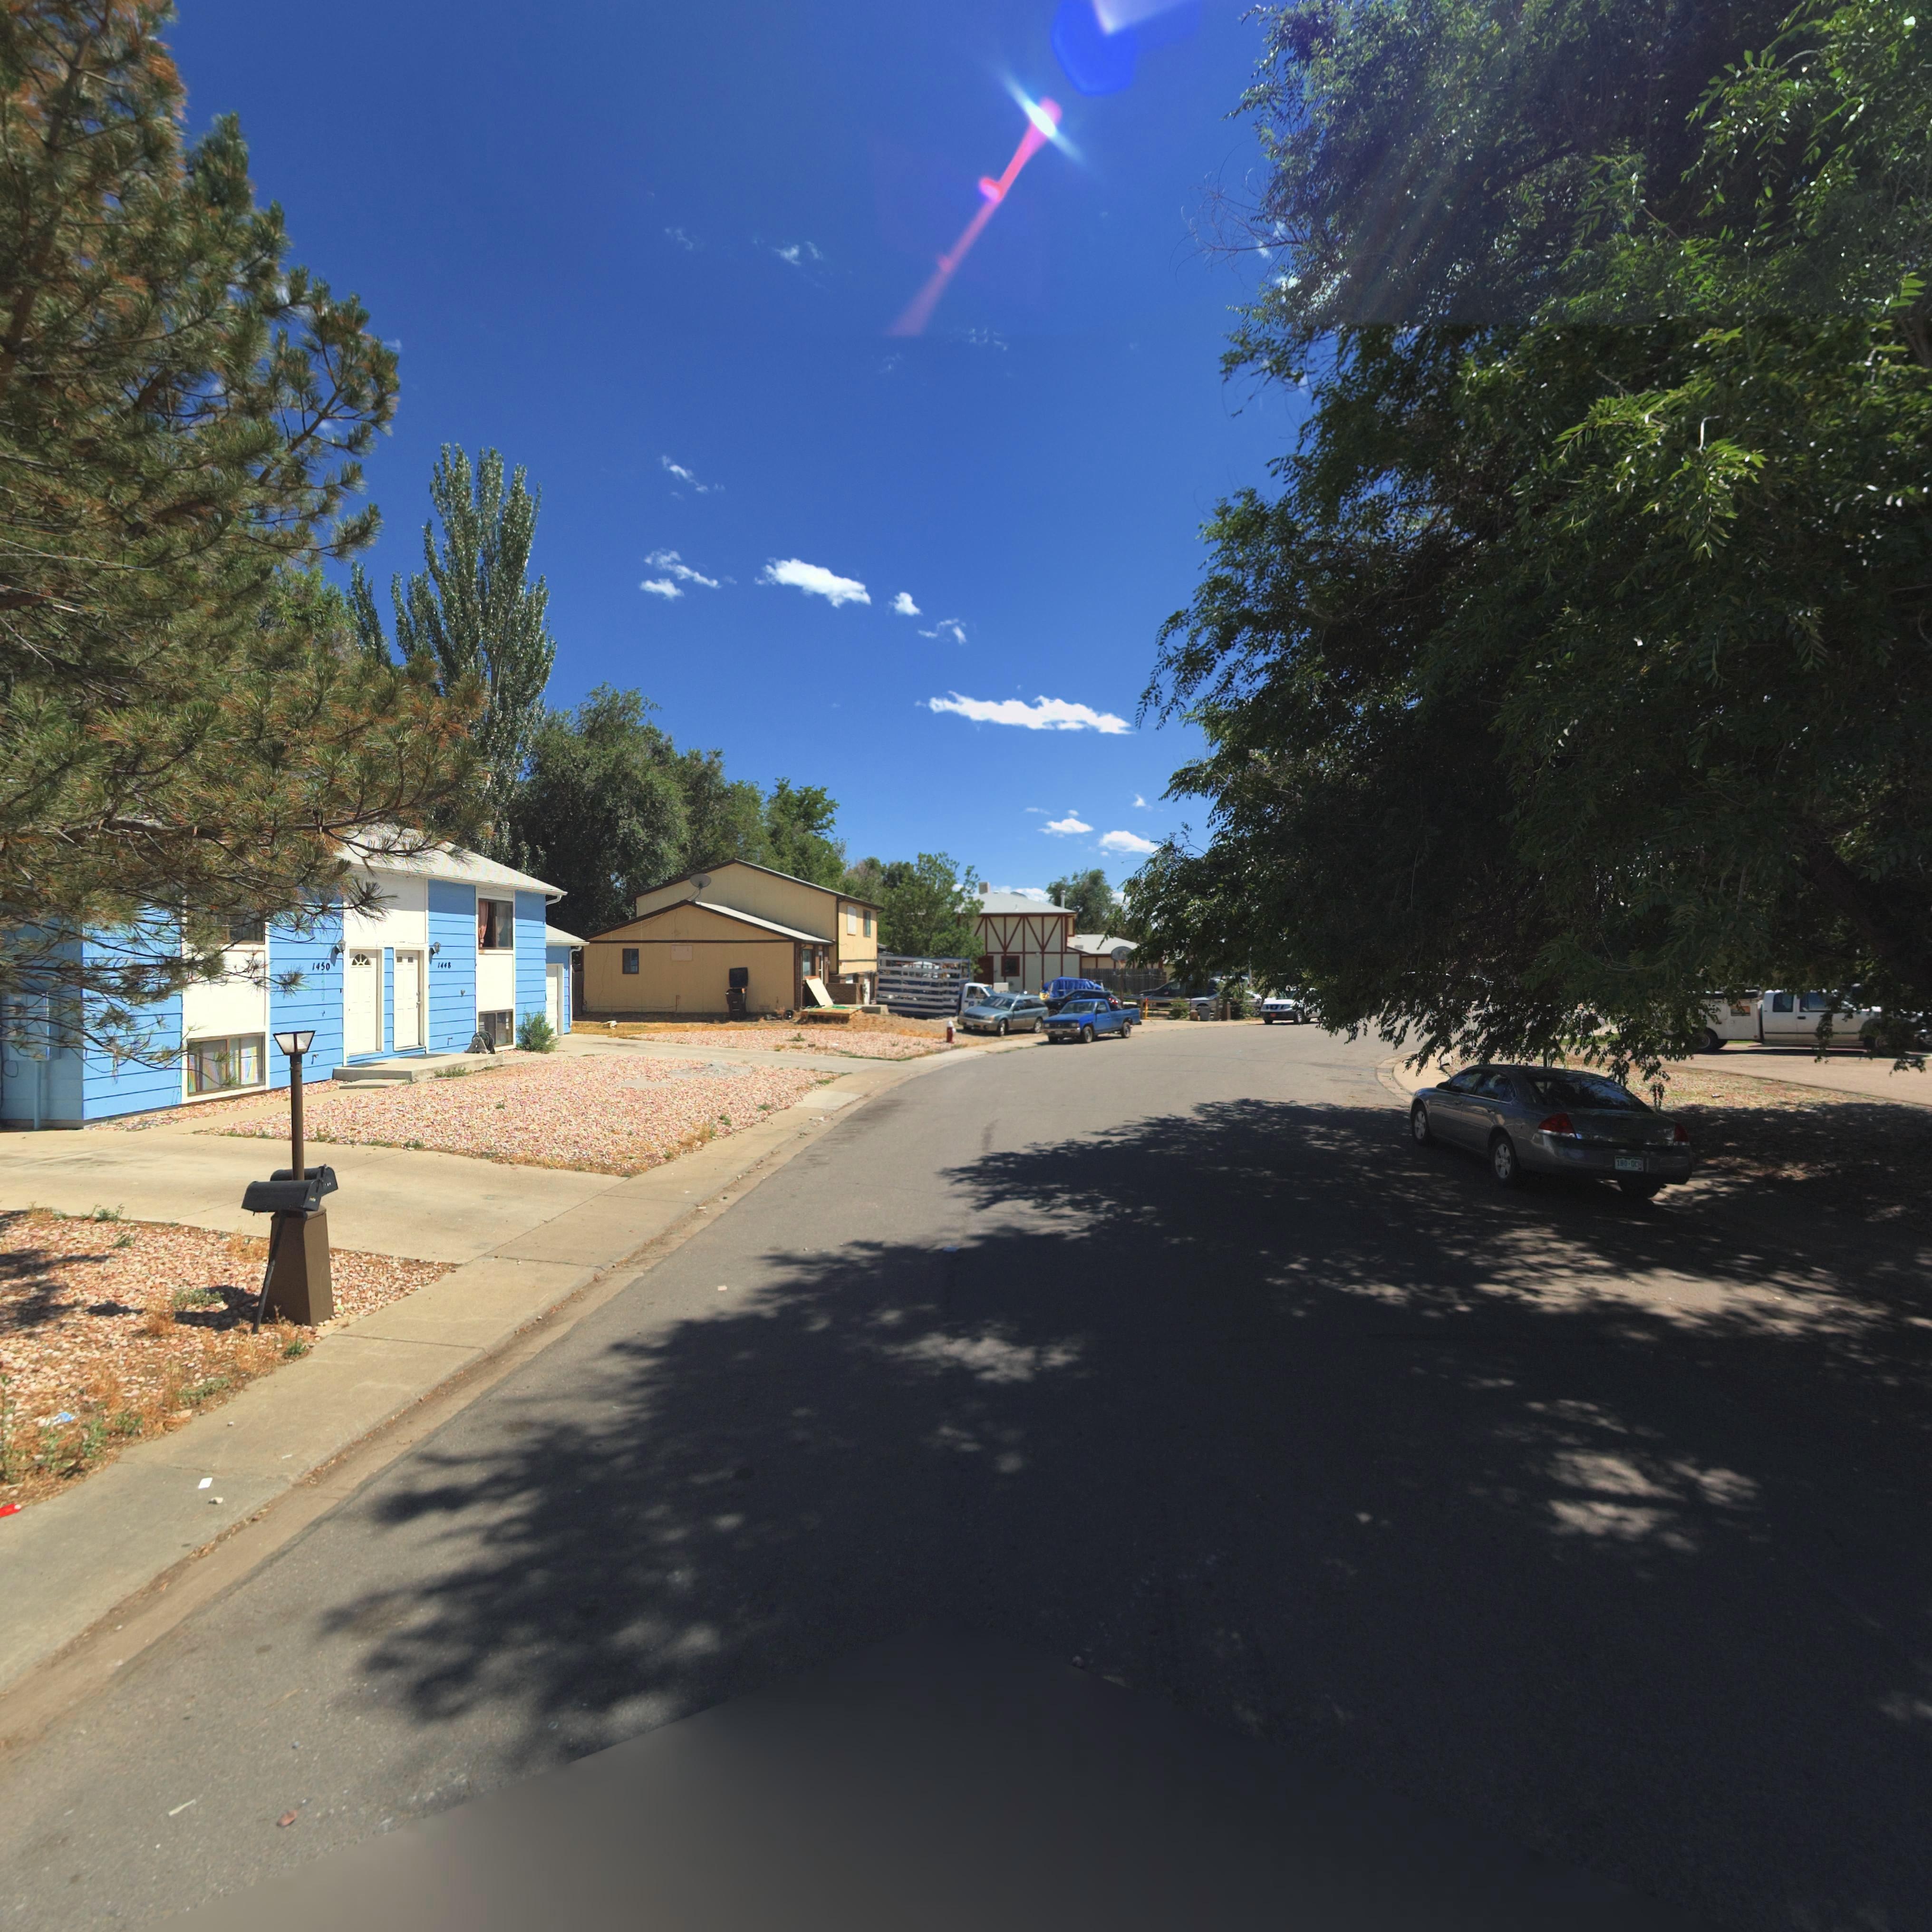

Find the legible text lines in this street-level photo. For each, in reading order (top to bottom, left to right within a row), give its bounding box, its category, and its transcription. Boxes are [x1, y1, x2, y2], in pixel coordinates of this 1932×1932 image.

[312, 962, 330, 970] StreetNumber: 1450
[437, 962, 451, 968] StreetNumber: 1448